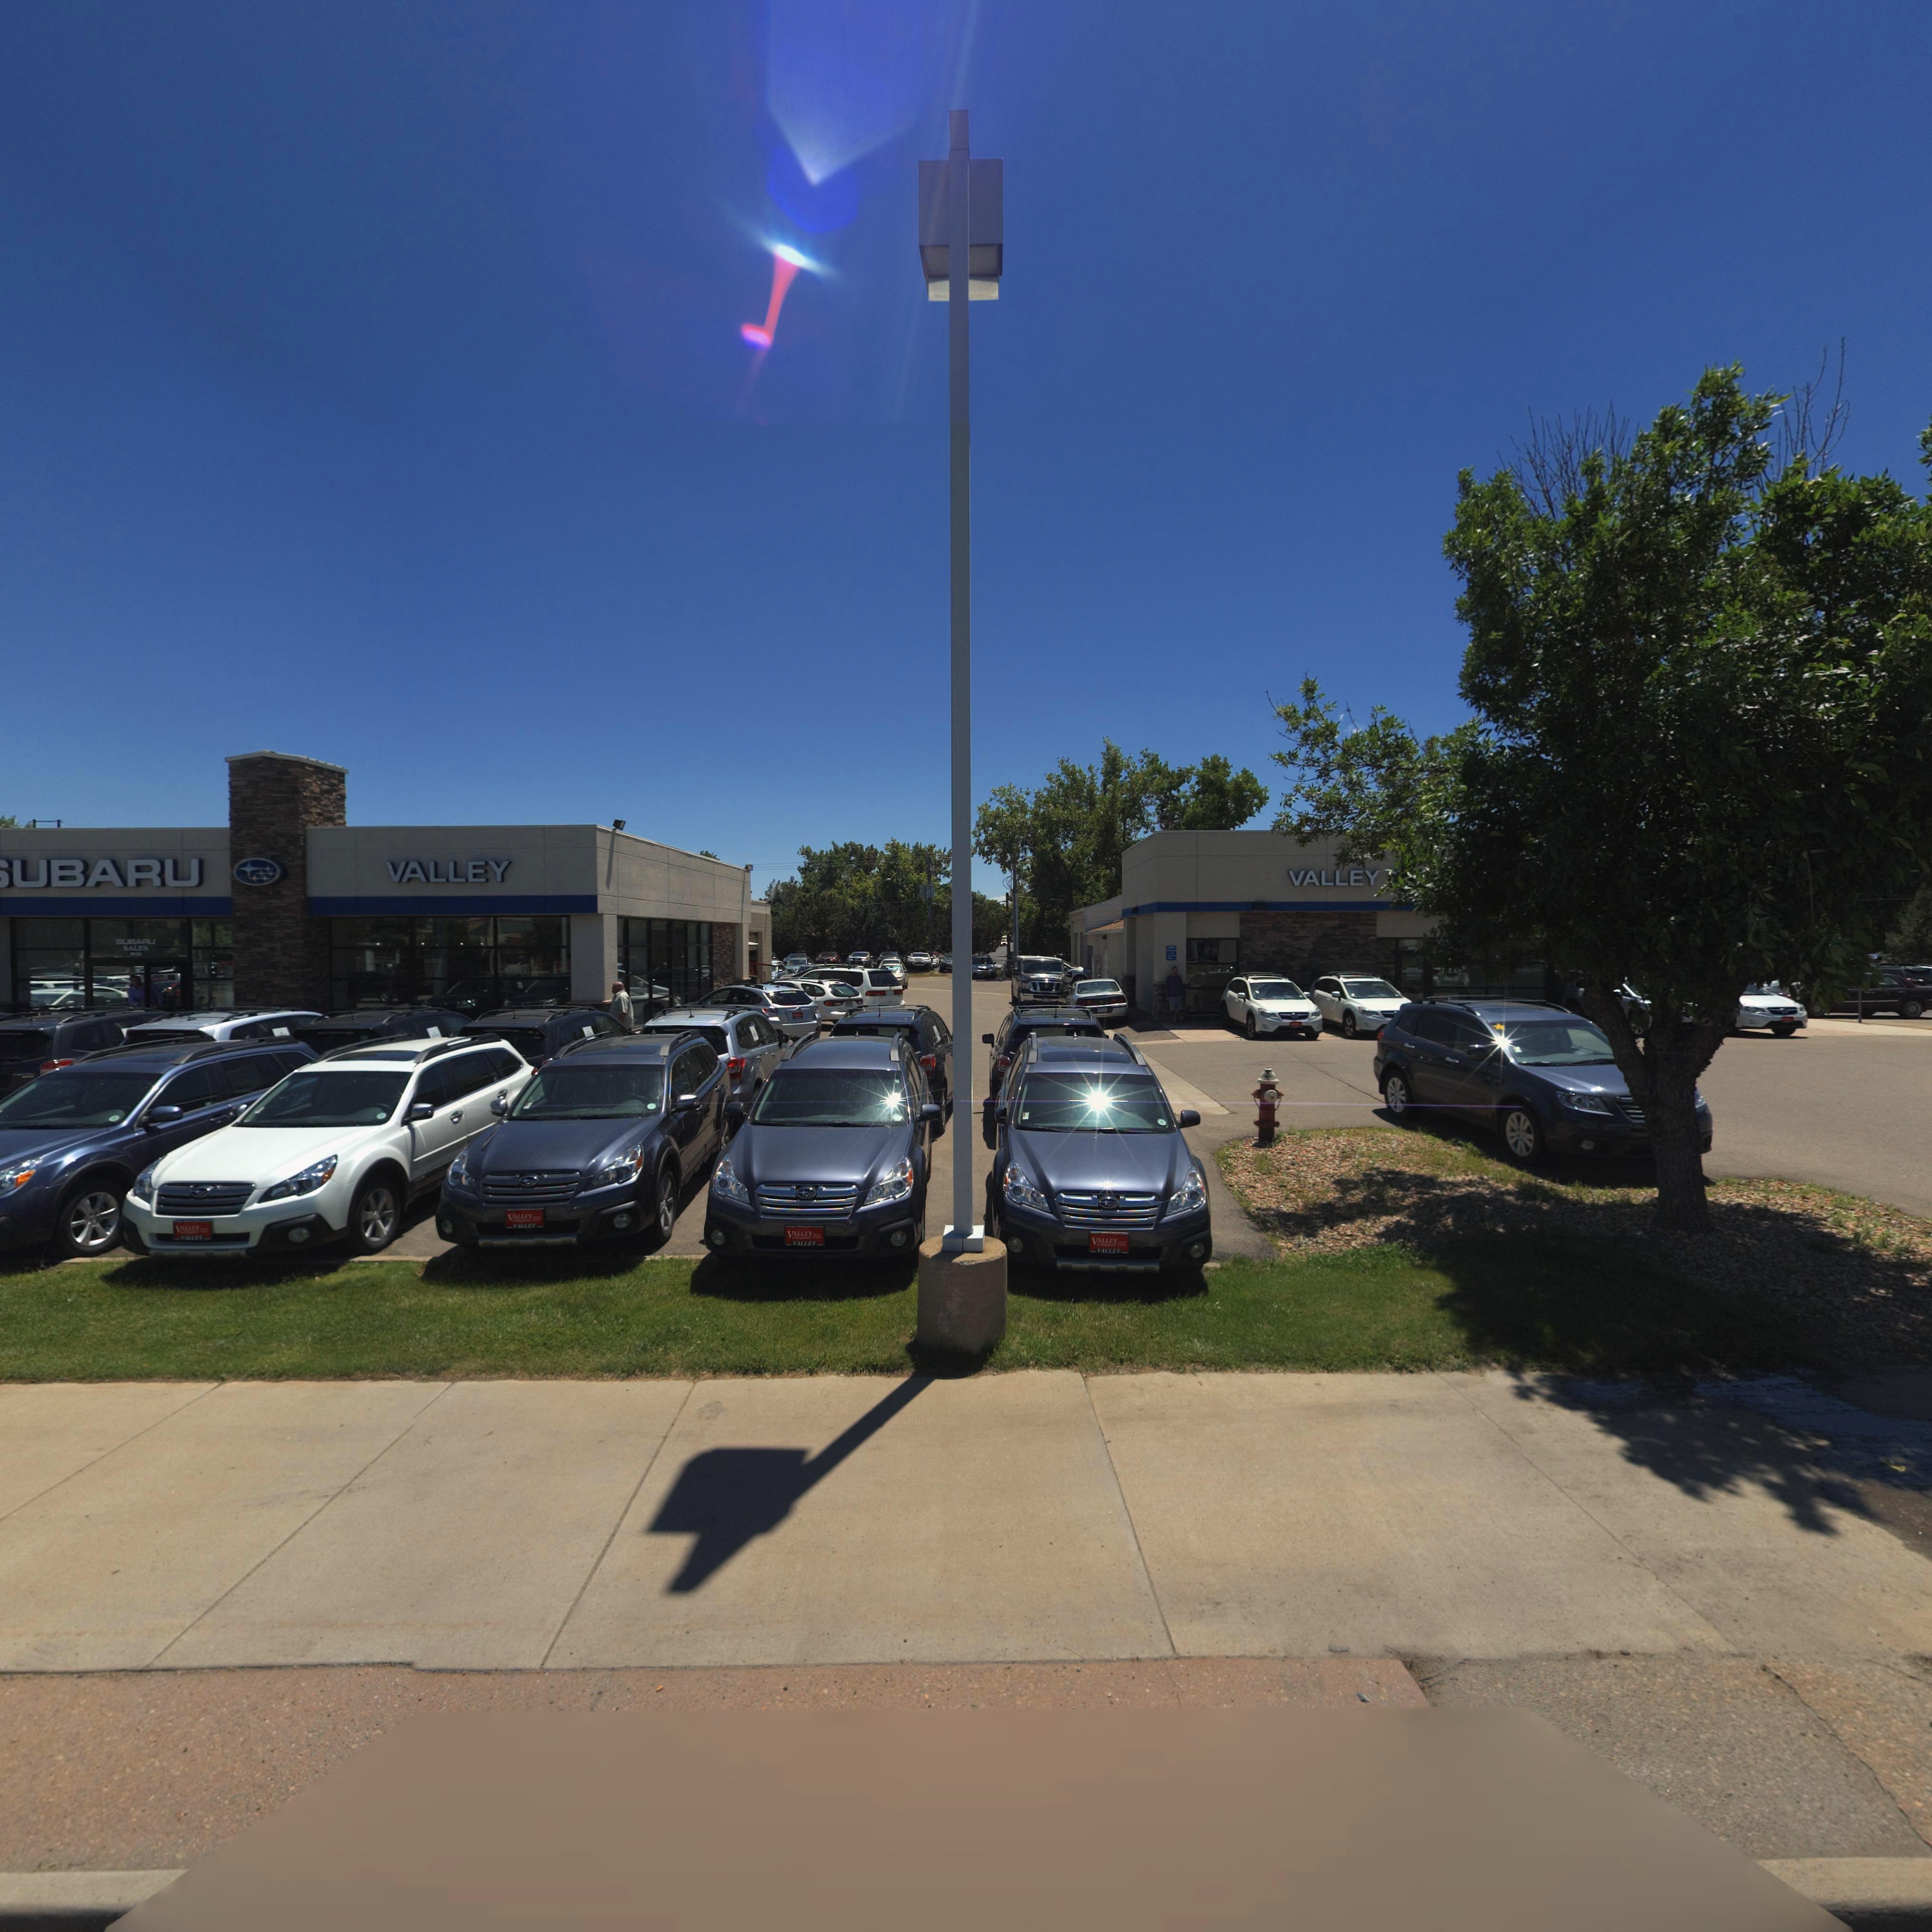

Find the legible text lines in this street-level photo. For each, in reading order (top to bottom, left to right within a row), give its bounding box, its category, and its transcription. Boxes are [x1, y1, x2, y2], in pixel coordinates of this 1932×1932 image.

[11, 858, 201, 889] BusinessName: UBARU
[382, 860, 512, 884] BusinessName: VALLEY
[1287, 869, 1381, 886] BusinessName: VALLEY
[115, 937, 155, 945] BusinessName: SUBARU
[123, 945, 148, 951] BusinessName: SALES